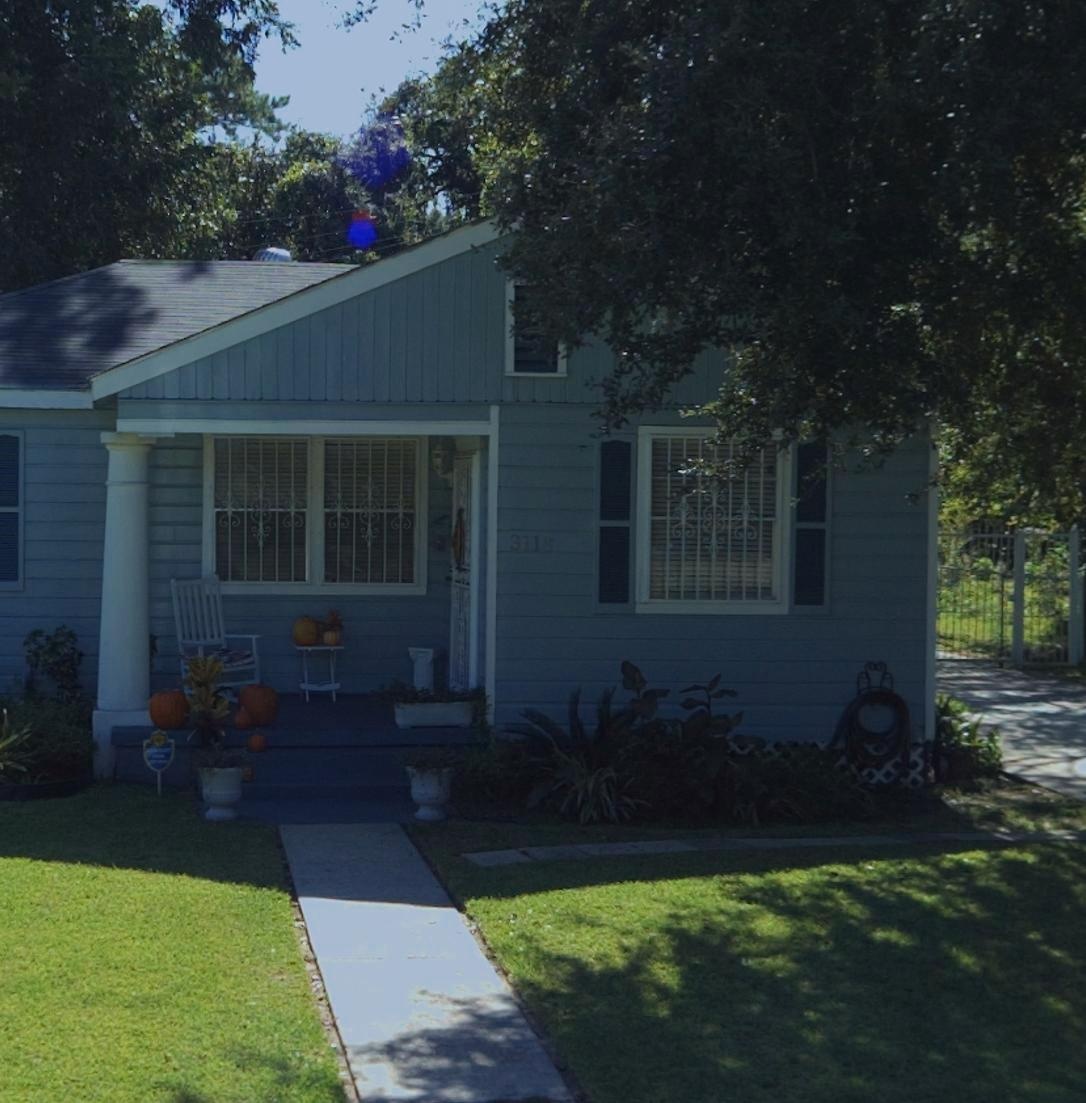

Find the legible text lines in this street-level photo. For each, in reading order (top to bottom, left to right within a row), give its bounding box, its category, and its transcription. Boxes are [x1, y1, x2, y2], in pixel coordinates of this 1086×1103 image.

[507, 533, 554, 553] StreetNumber: 3118